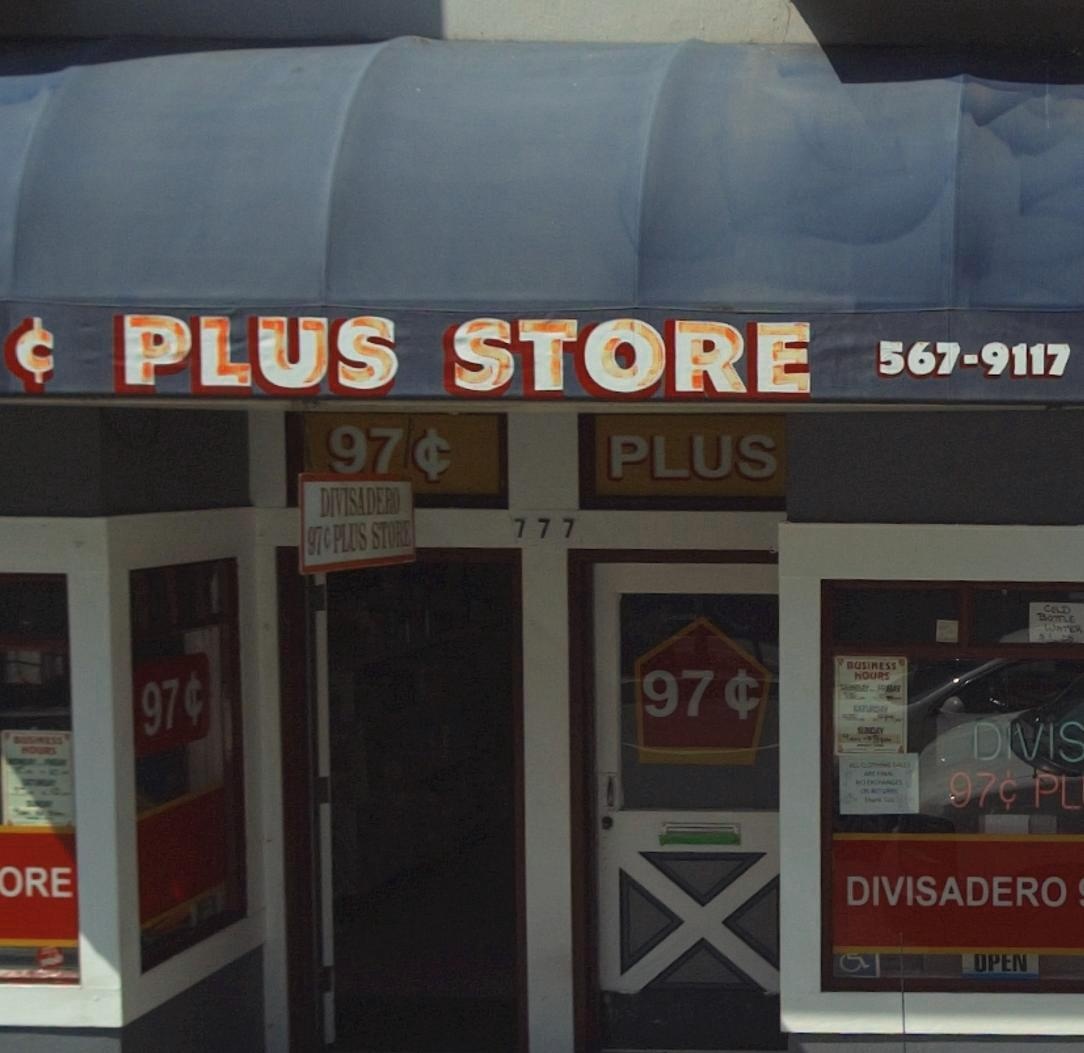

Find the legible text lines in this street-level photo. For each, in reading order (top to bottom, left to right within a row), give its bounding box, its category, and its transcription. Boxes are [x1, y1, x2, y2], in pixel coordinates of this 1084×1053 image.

[113, 311, 815, 400] BusinessName: PLUS STORE
[876, 337, 1074, 378] None: 567-9117
[325, 424, 411, 478] None: 97
[603, 432, 779, 482] None: PLUS
[317, 484, 401, 519] None: DIVISADERO
[306, 518, 413, 557] None: 97* PLUS STORE
[512, 516, 578, 541] StreetNumber: 777
[1033, 612, 1077, 623] None: BOTTLE
[1042, 603, 1075, 613] None: COLD
[1042, 623, 1082, 634] None: WATER
[141, 674, 180, 739] None: 97
[642, 667, 716, 721] None: 97
[845, 660, 897, 670] None: BUSINESS
[852, 671, 891, 681] None: hOURS
[973, 720, 1059, 762] None: DIVI
[947, 766, 1082, 814] None: 97 * PL
[22, 865, 74, 900] None: RE
[844, 873, 1069, 910] None: DIVISADERO
[972, 951, 1028, 972] None: OPEN